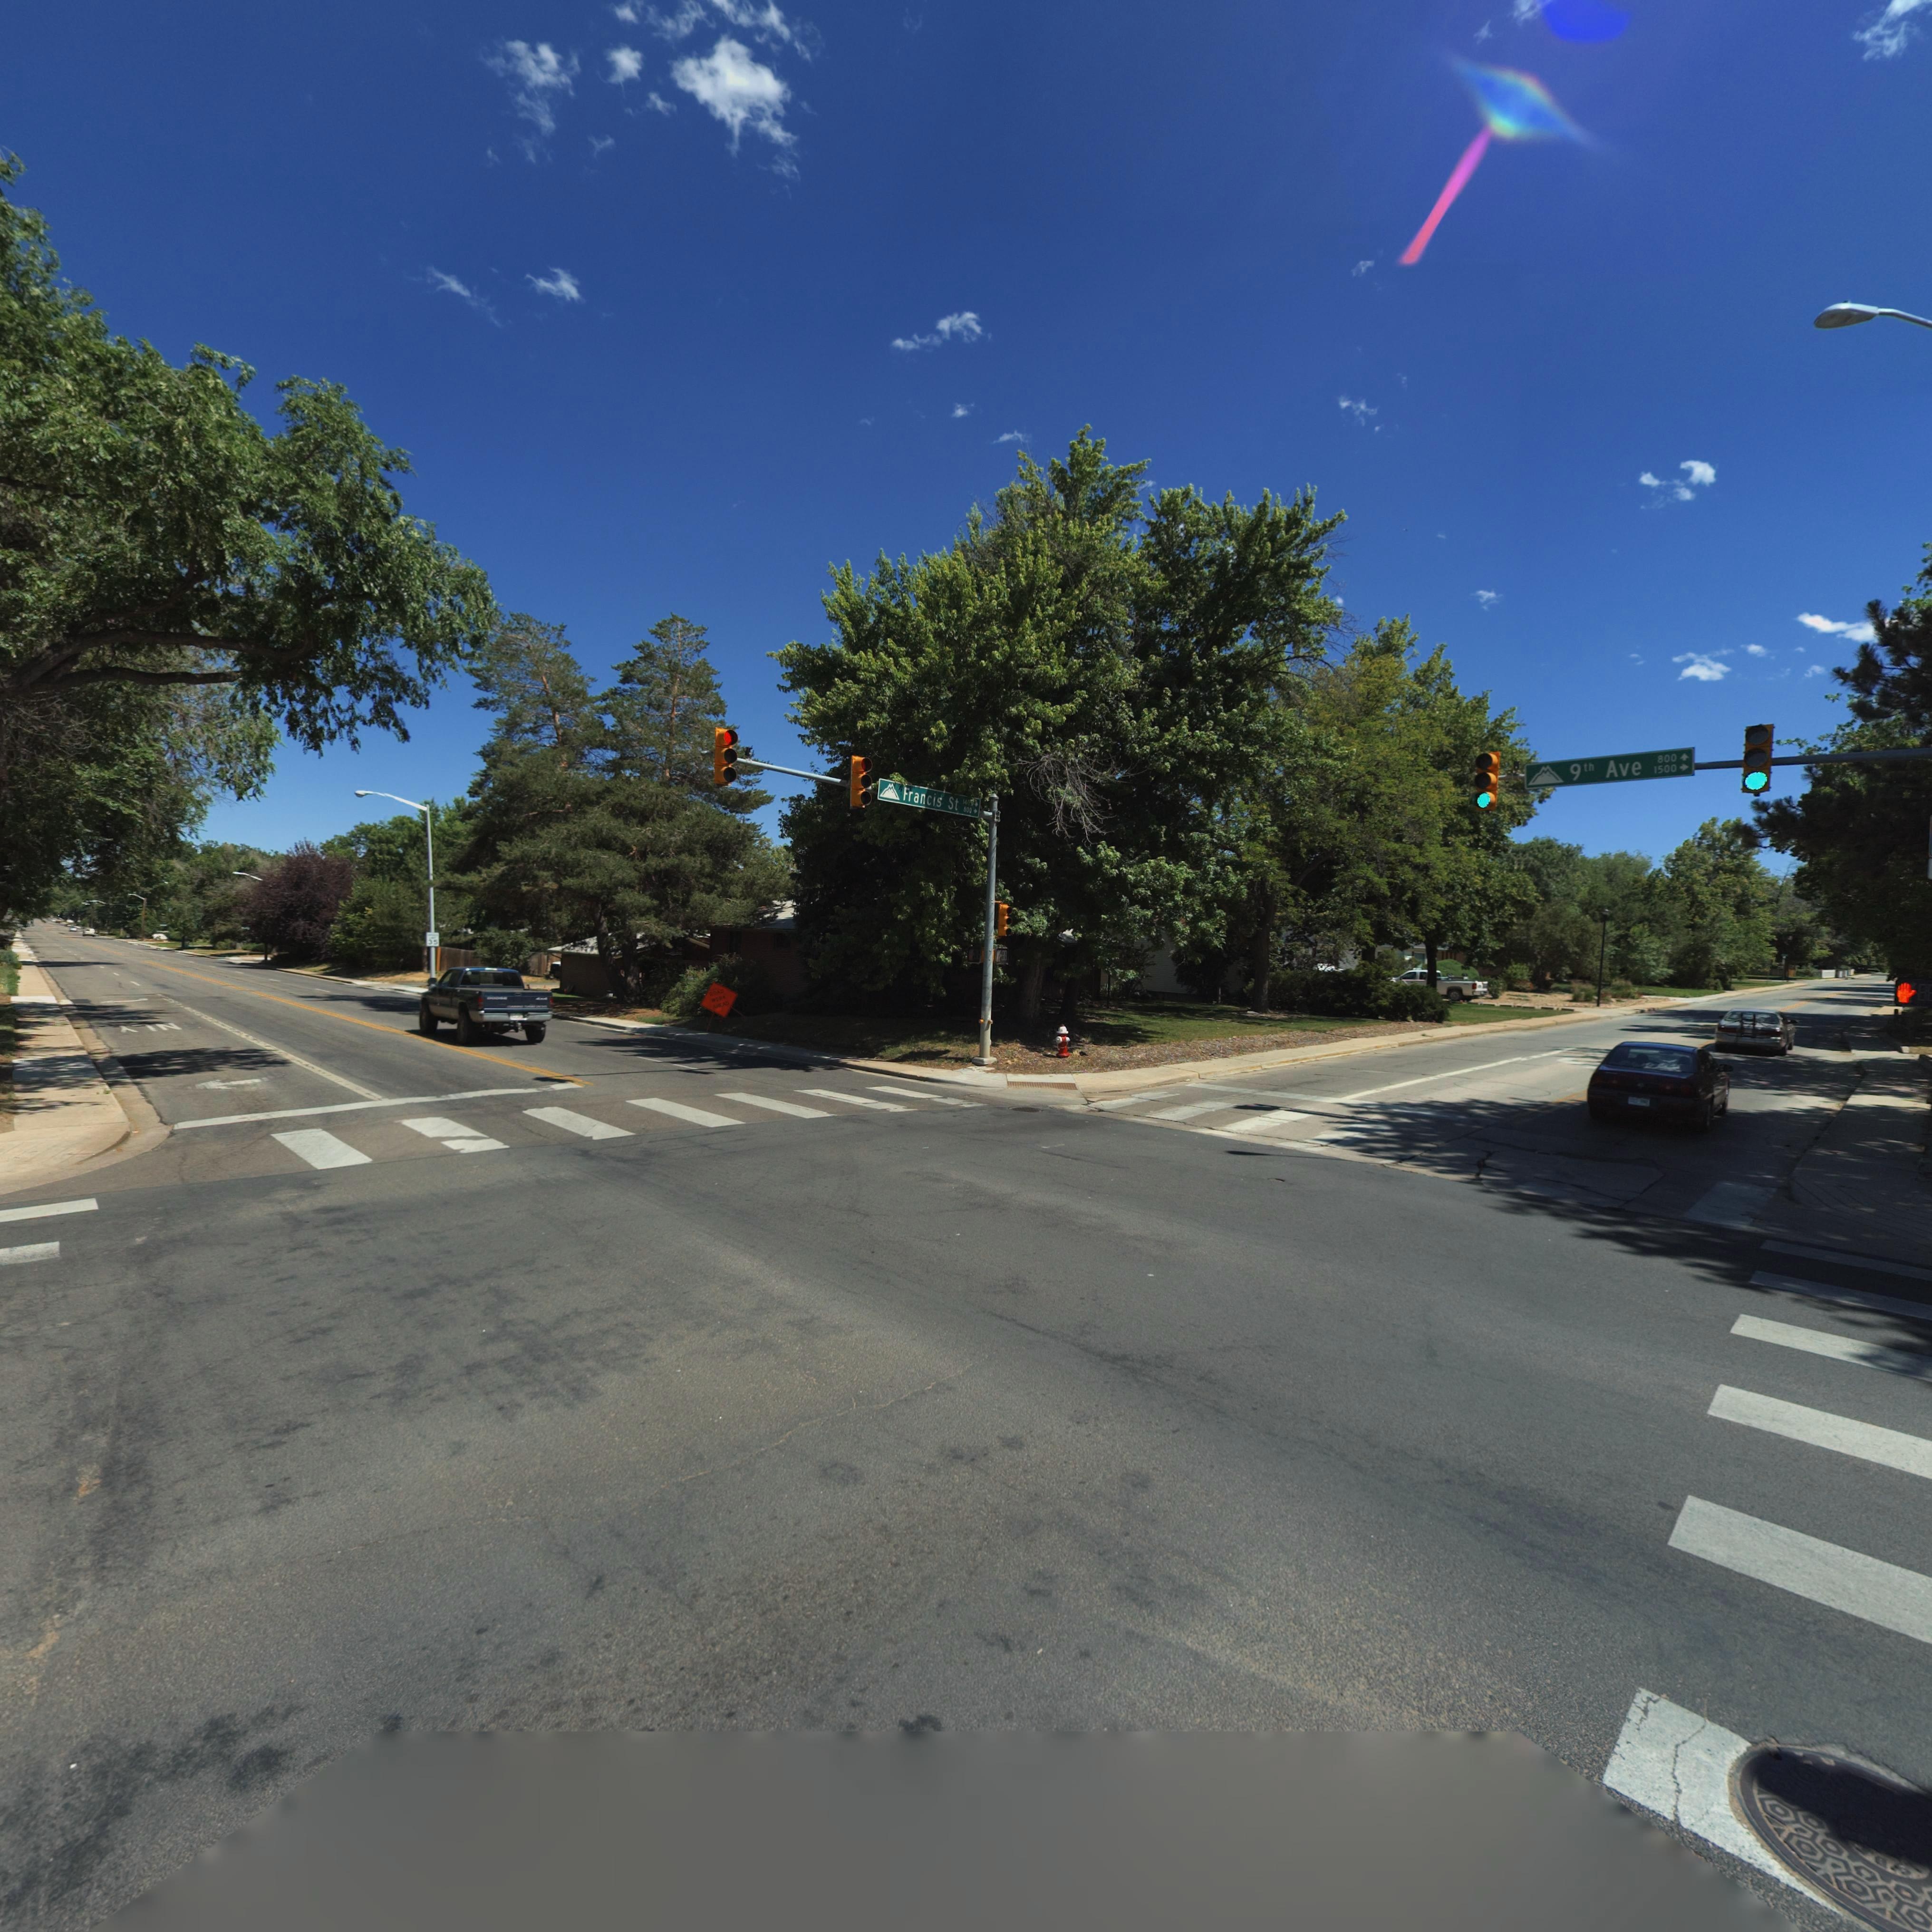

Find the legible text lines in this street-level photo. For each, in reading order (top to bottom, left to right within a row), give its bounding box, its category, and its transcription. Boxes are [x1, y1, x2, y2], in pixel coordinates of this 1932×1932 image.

[1657, 753, 1677, 763] StreetNumberRange: 800
[1569, 759, 1642, 781] StreetName: 9th Ave
[1653, 763, 1689, 773] StreetNumberRange: 1500->
[903, 786, 959, 811] StreetName: Francis St
[962, 799, 973, 806] StreetNumberRange: 14**
[963, 806, 978, 813] StreetNumberRange: 800->